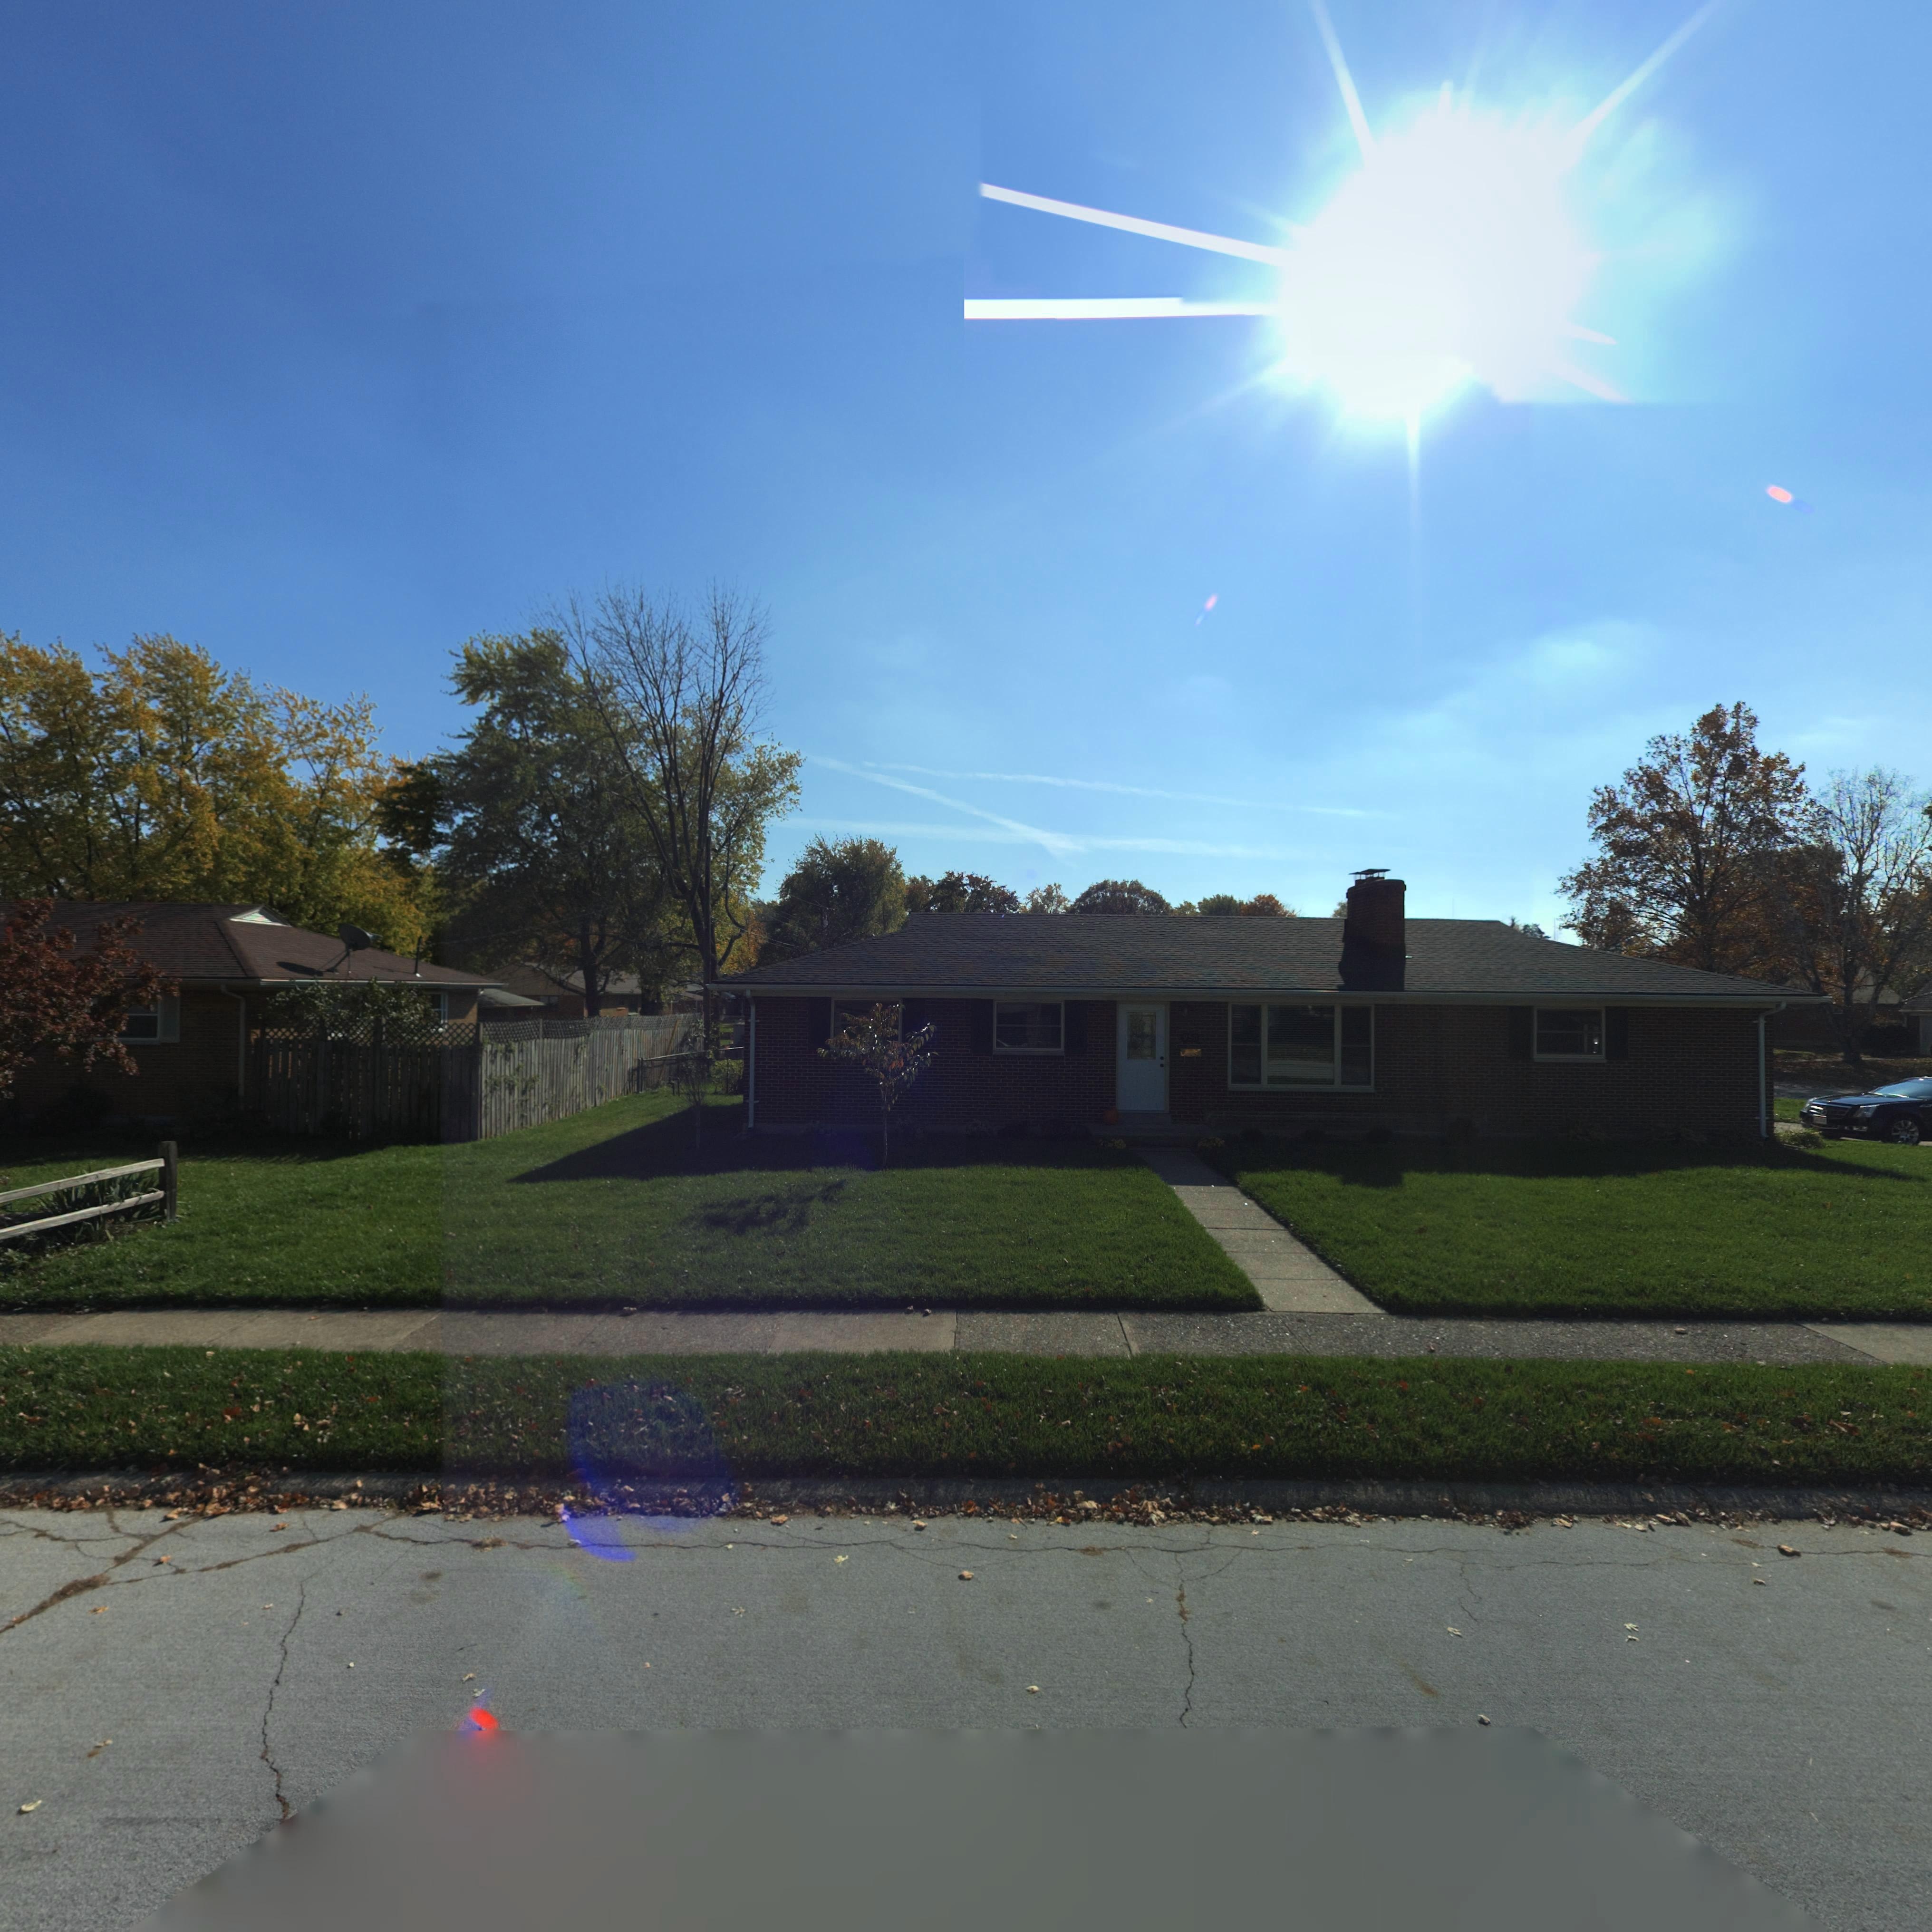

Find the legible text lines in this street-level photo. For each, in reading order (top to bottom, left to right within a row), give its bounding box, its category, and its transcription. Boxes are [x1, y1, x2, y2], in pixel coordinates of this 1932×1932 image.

[1183, 1034, 1198, 1041] StreetNumber: 950